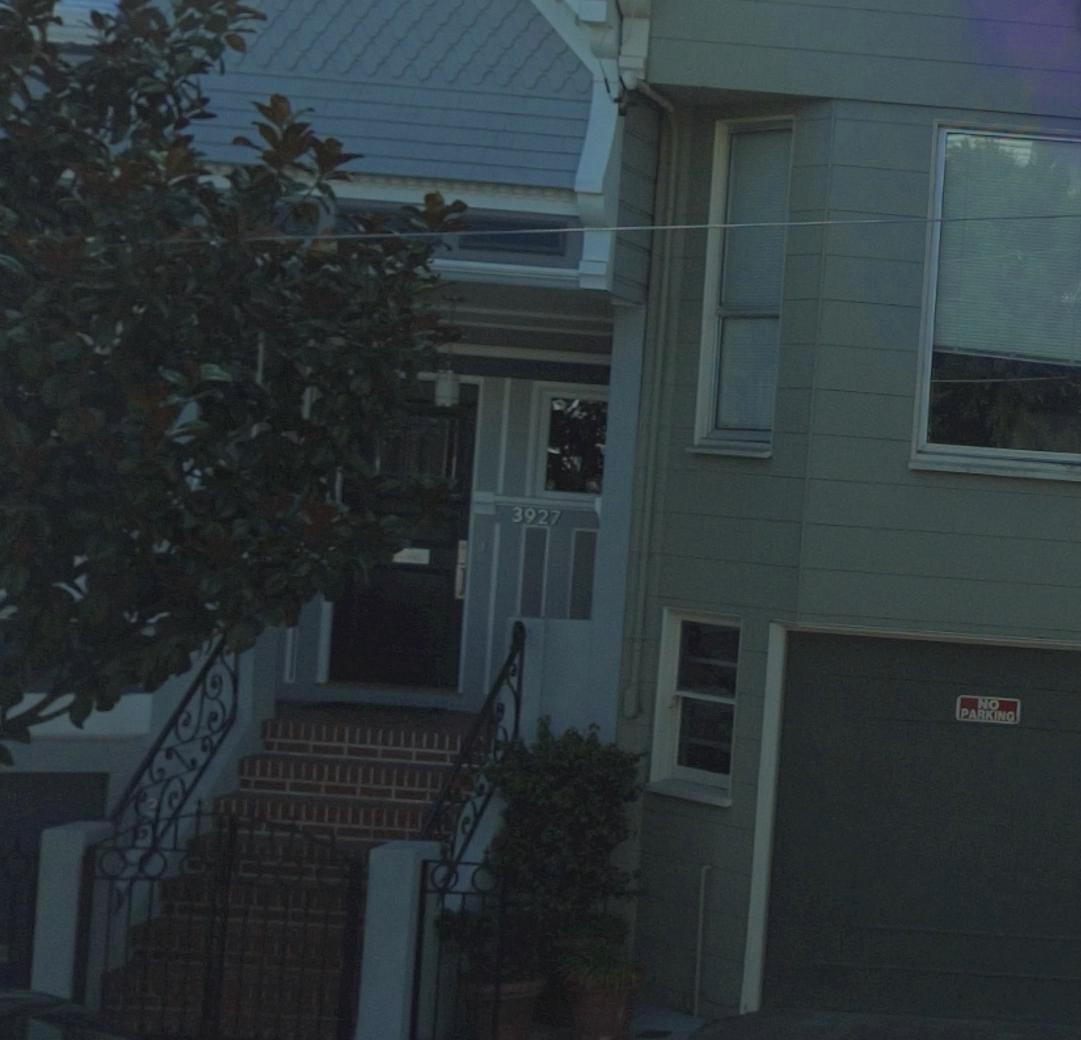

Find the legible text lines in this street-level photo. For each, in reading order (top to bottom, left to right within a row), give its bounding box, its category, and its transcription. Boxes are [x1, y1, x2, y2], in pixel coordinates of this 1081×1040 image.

[511, 505, 563, 527] StreetNumber: 3927
[976, 698, 1001, 710] None: NO
[960, 707, 1017, 723] None: PARKING